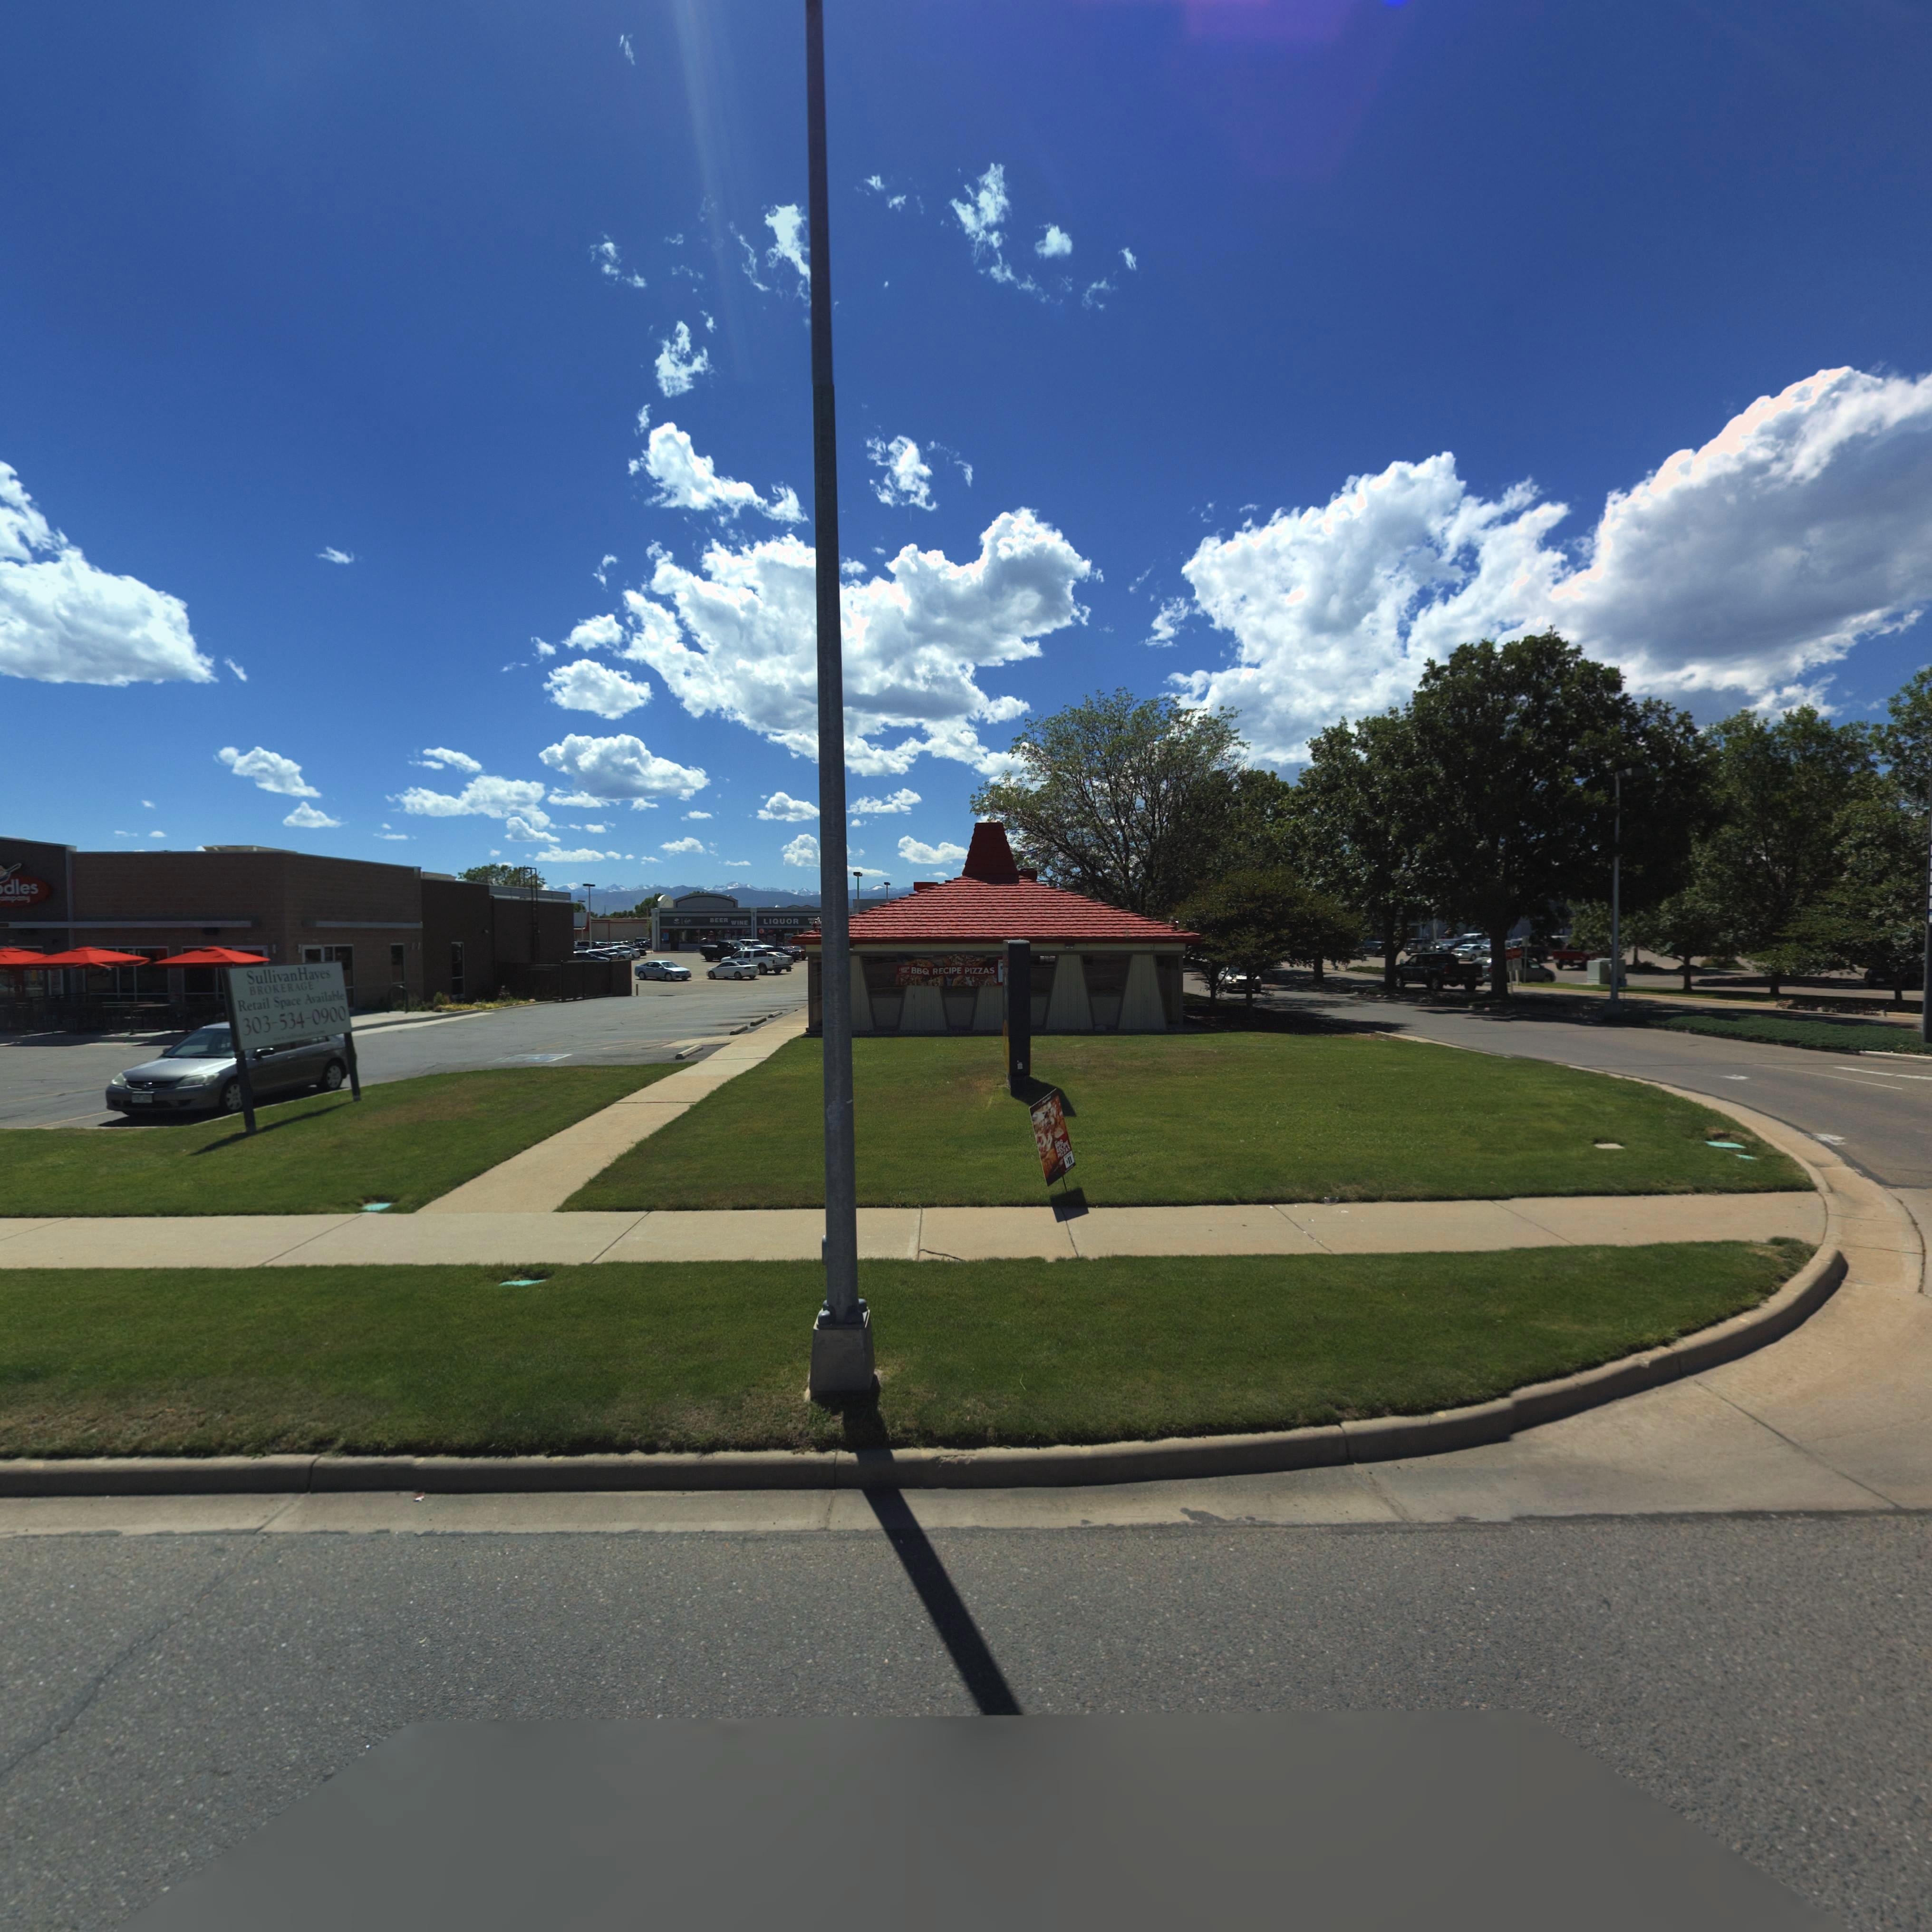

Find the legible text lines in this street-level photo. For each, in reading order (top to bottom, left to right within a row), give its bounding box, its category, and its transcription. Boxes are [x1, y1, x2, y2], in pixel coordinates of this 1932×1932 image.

[3, 878, 39, 895] BusinessName: dles
[1, 895, 30, 903] BusinessName: **pa**